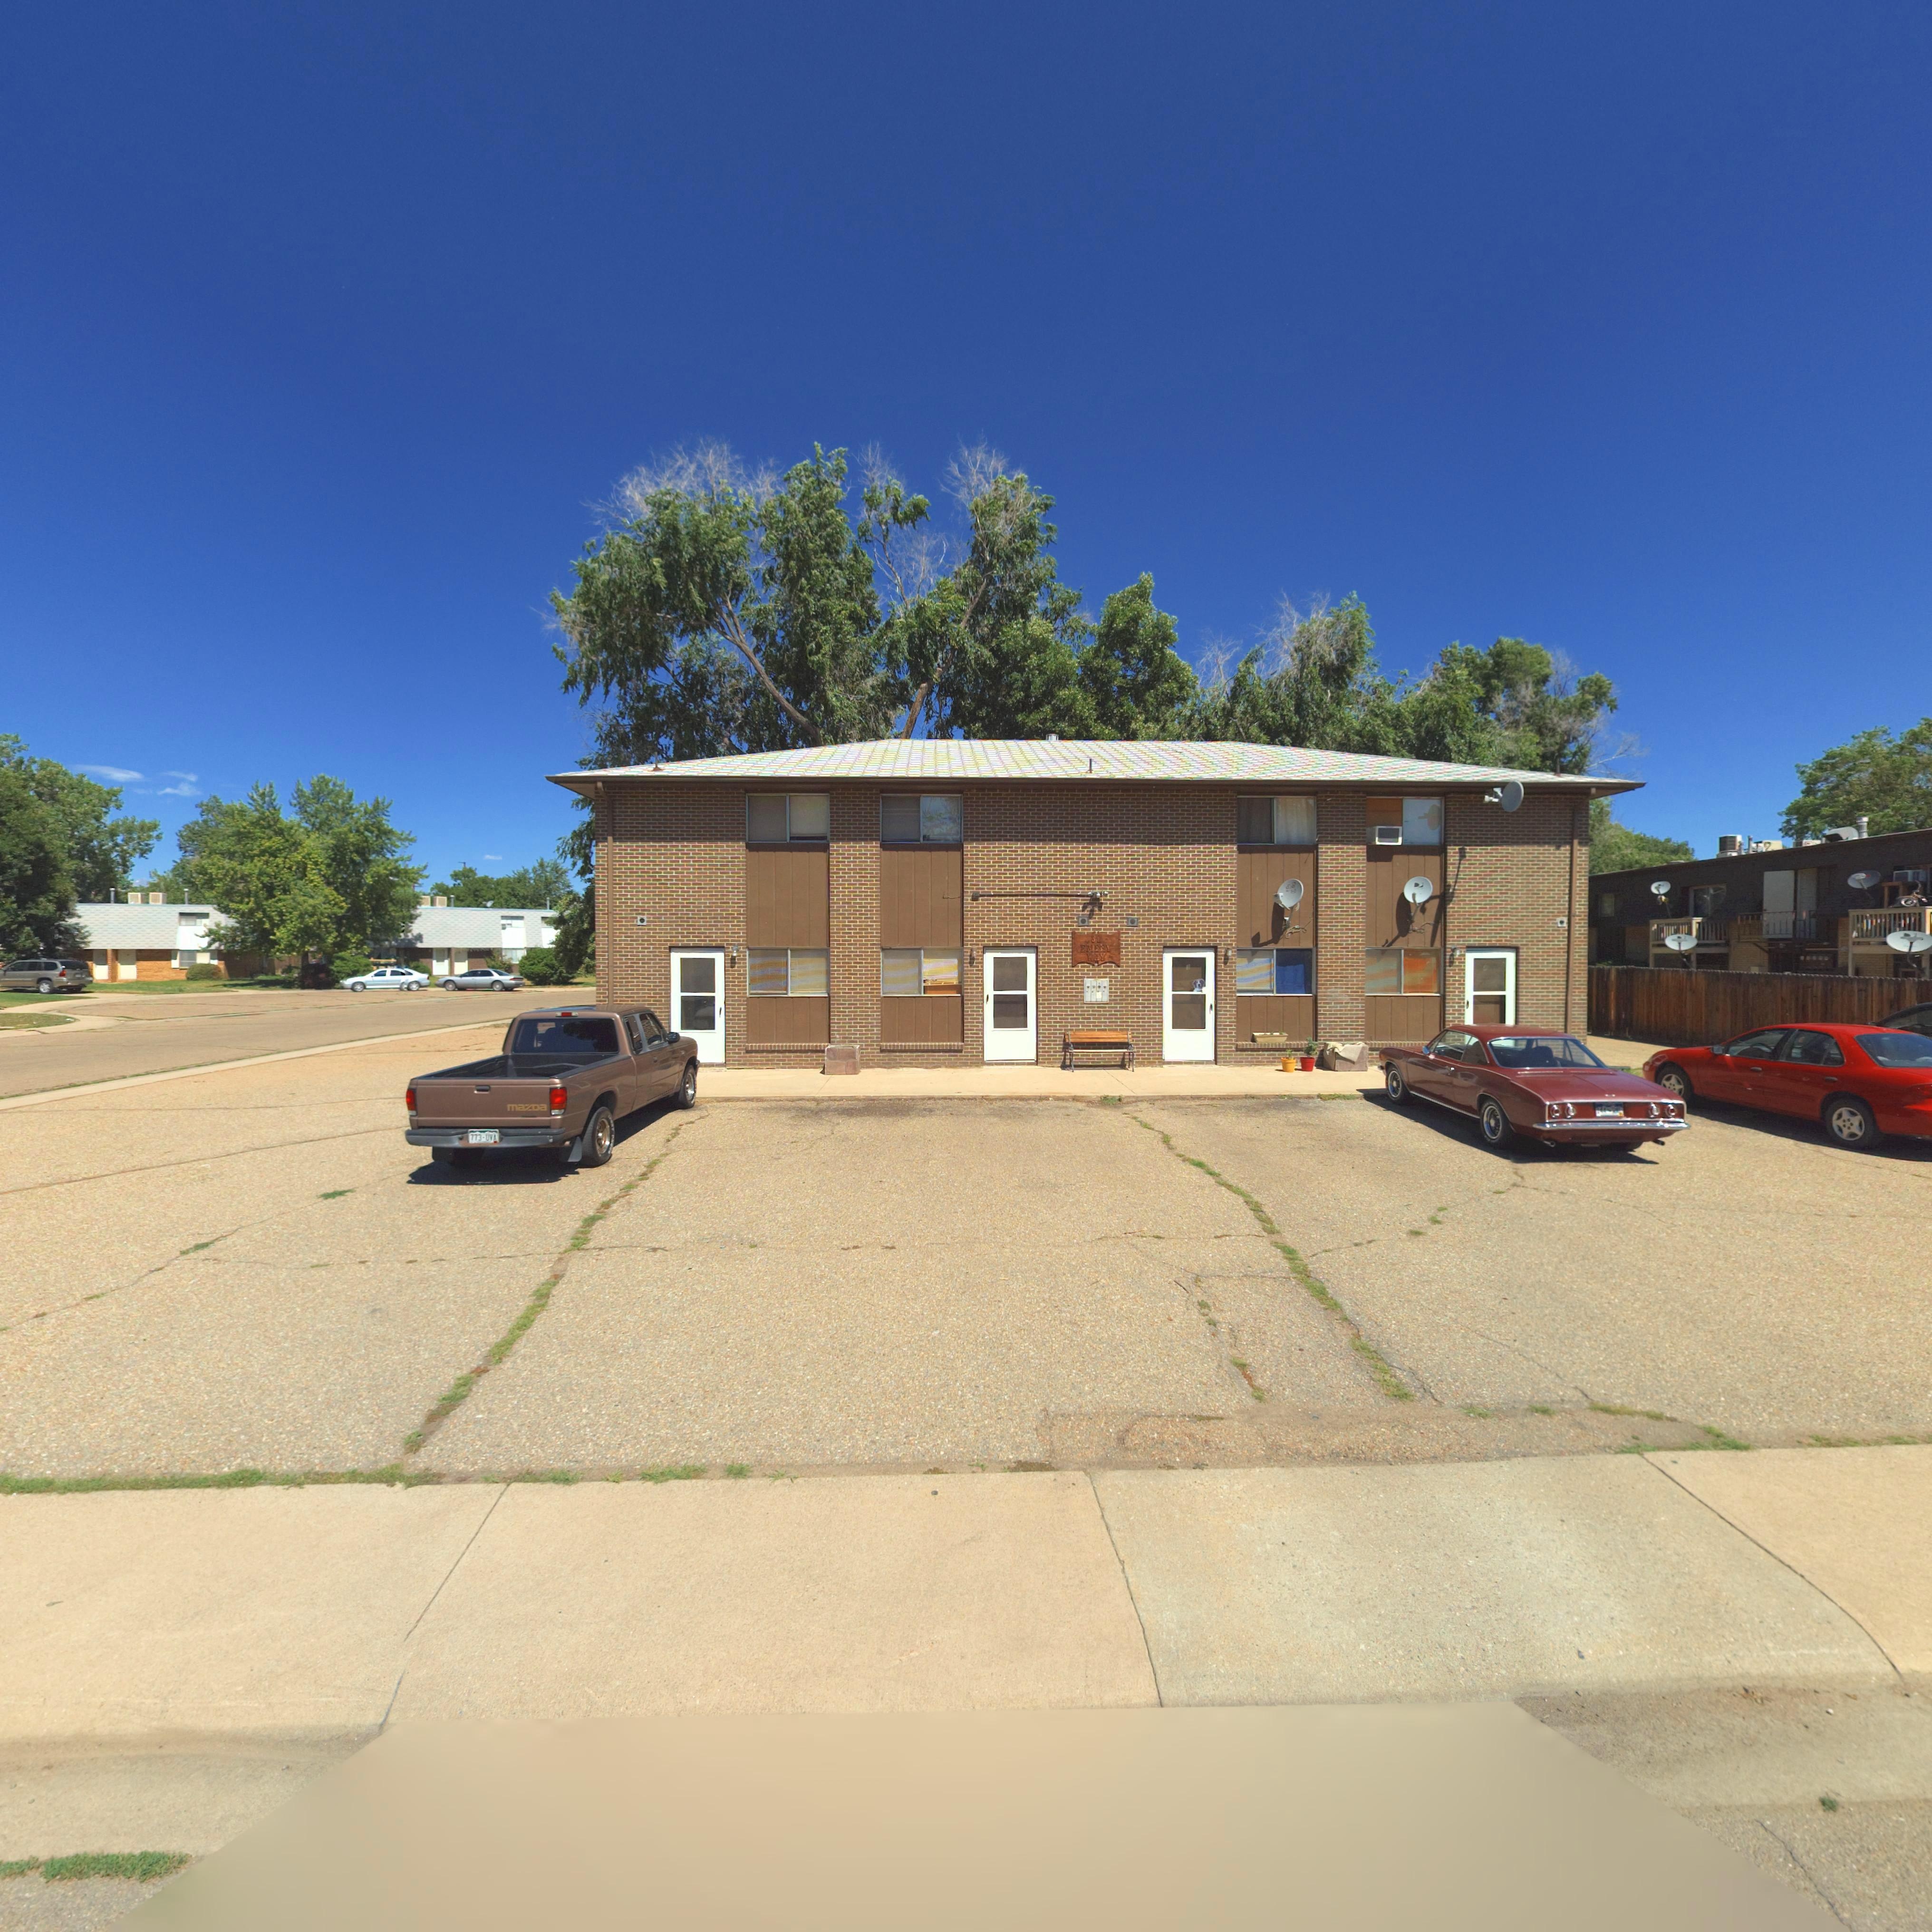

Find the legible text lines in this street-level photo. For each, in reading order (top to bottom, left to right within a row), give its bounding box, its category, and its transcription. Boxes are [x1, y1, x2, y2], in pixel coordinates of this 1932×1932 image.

[1089, 933, 1101, 943] StreetNumber: 31
[1079, 943, 1111, 952] StreetName: EMERY
[1086, 952, 1107, 961] StreetName: WAY
[1186, 964, 1189, 970] StreetNumber: 3